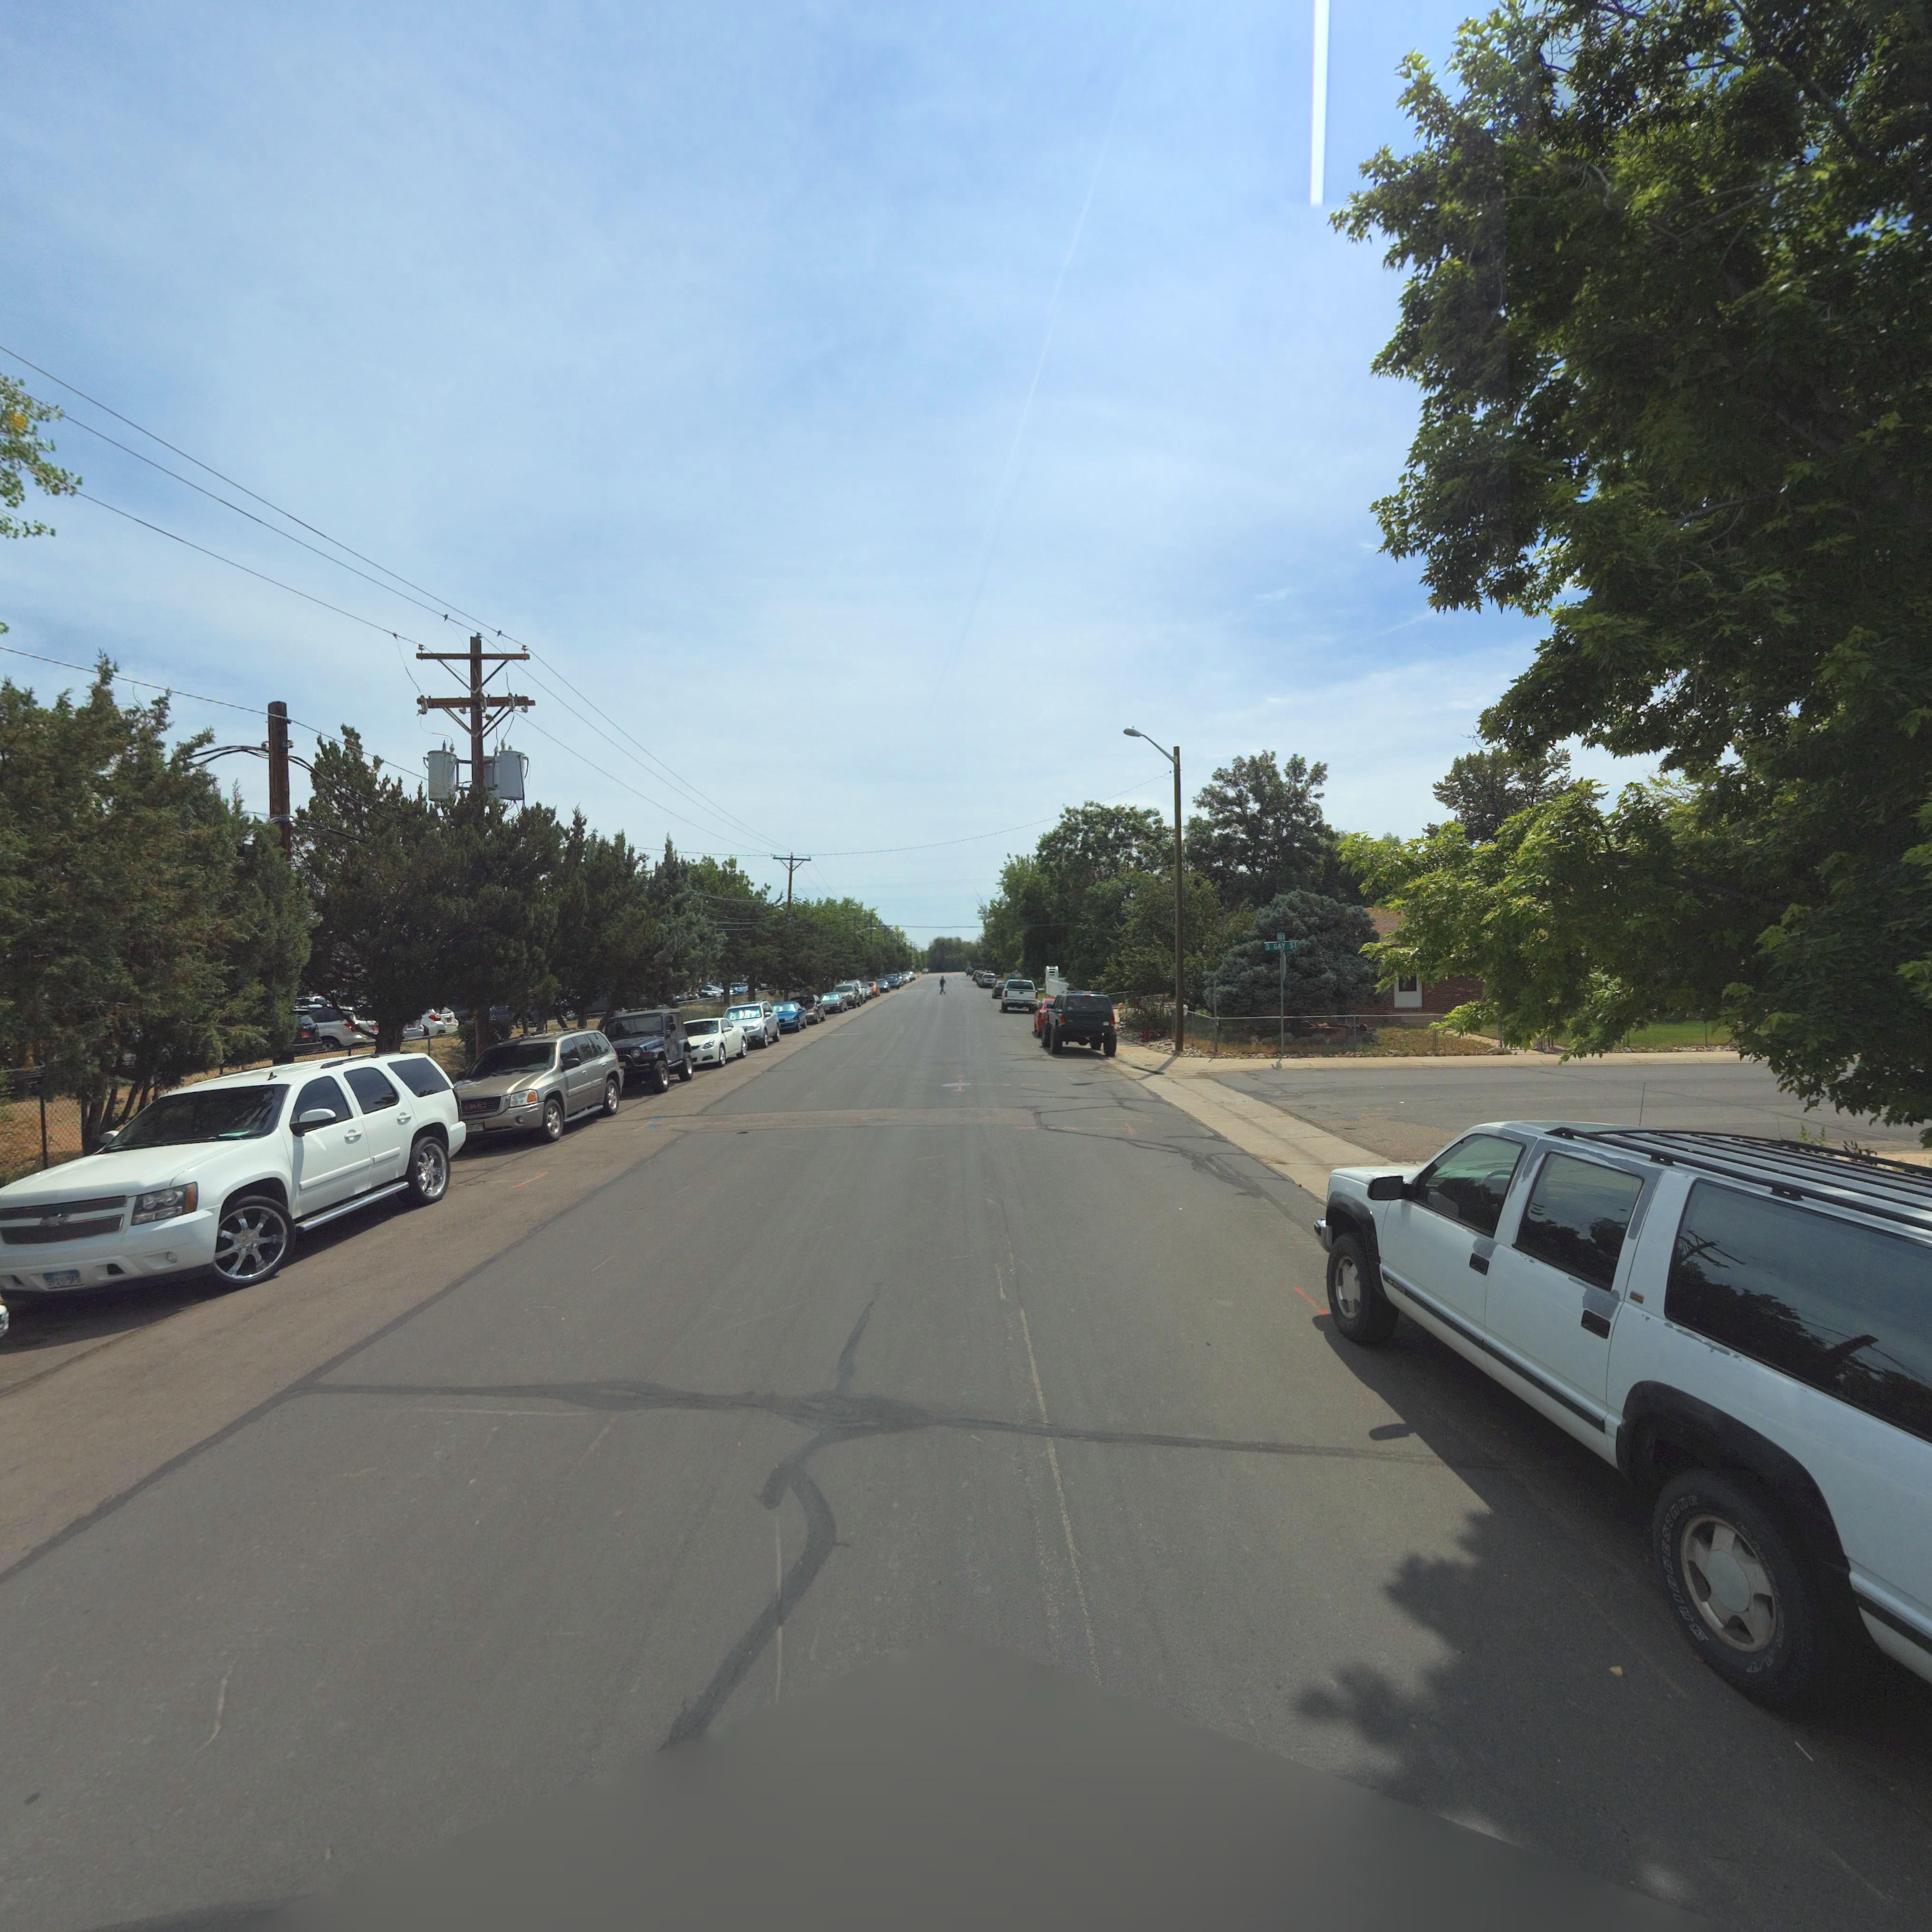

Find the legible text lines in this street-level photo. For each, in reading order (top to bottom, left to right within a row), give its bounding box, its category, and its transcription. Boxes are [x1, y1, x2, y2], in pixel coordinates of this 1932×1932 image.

[1265, 941, 1297, 950] StreetName: S GAY ST